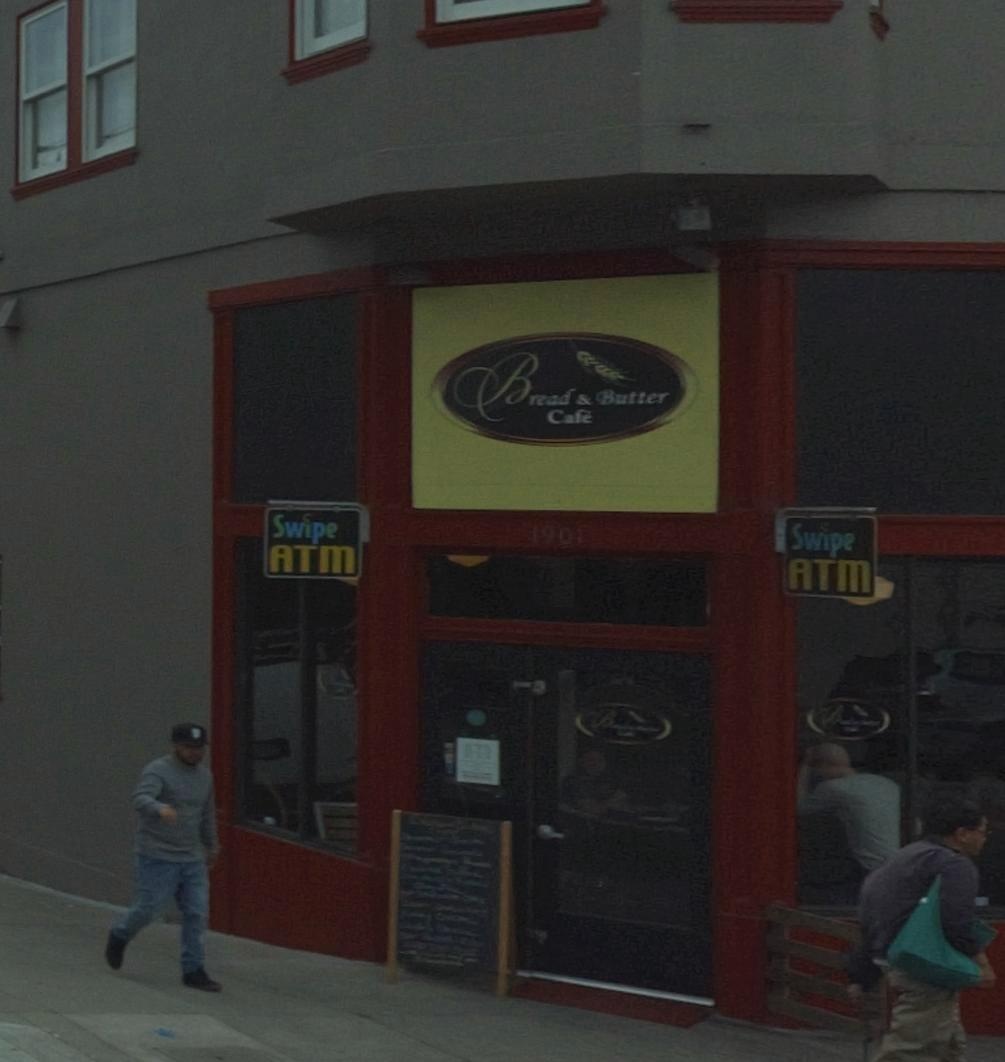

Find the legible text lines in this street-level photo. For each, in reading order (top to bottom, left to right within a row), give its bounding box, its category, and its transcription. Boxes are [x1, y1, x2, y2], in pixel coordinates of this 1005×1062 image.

[487, 350, 670, 406] BusinessName: Bread & Butter
[546, 407, 594, 426] BusinessName: Cafe
[271, 512, 338, 545] BusinessName: Swipe
[527, 522, 585, 547] StreetNumber: 1901
[790, 521, 855, 560] BusinessName: Swipe
[268, 544, 355, 575] None: ATM
[787, 556, 872, 595] None: ATM